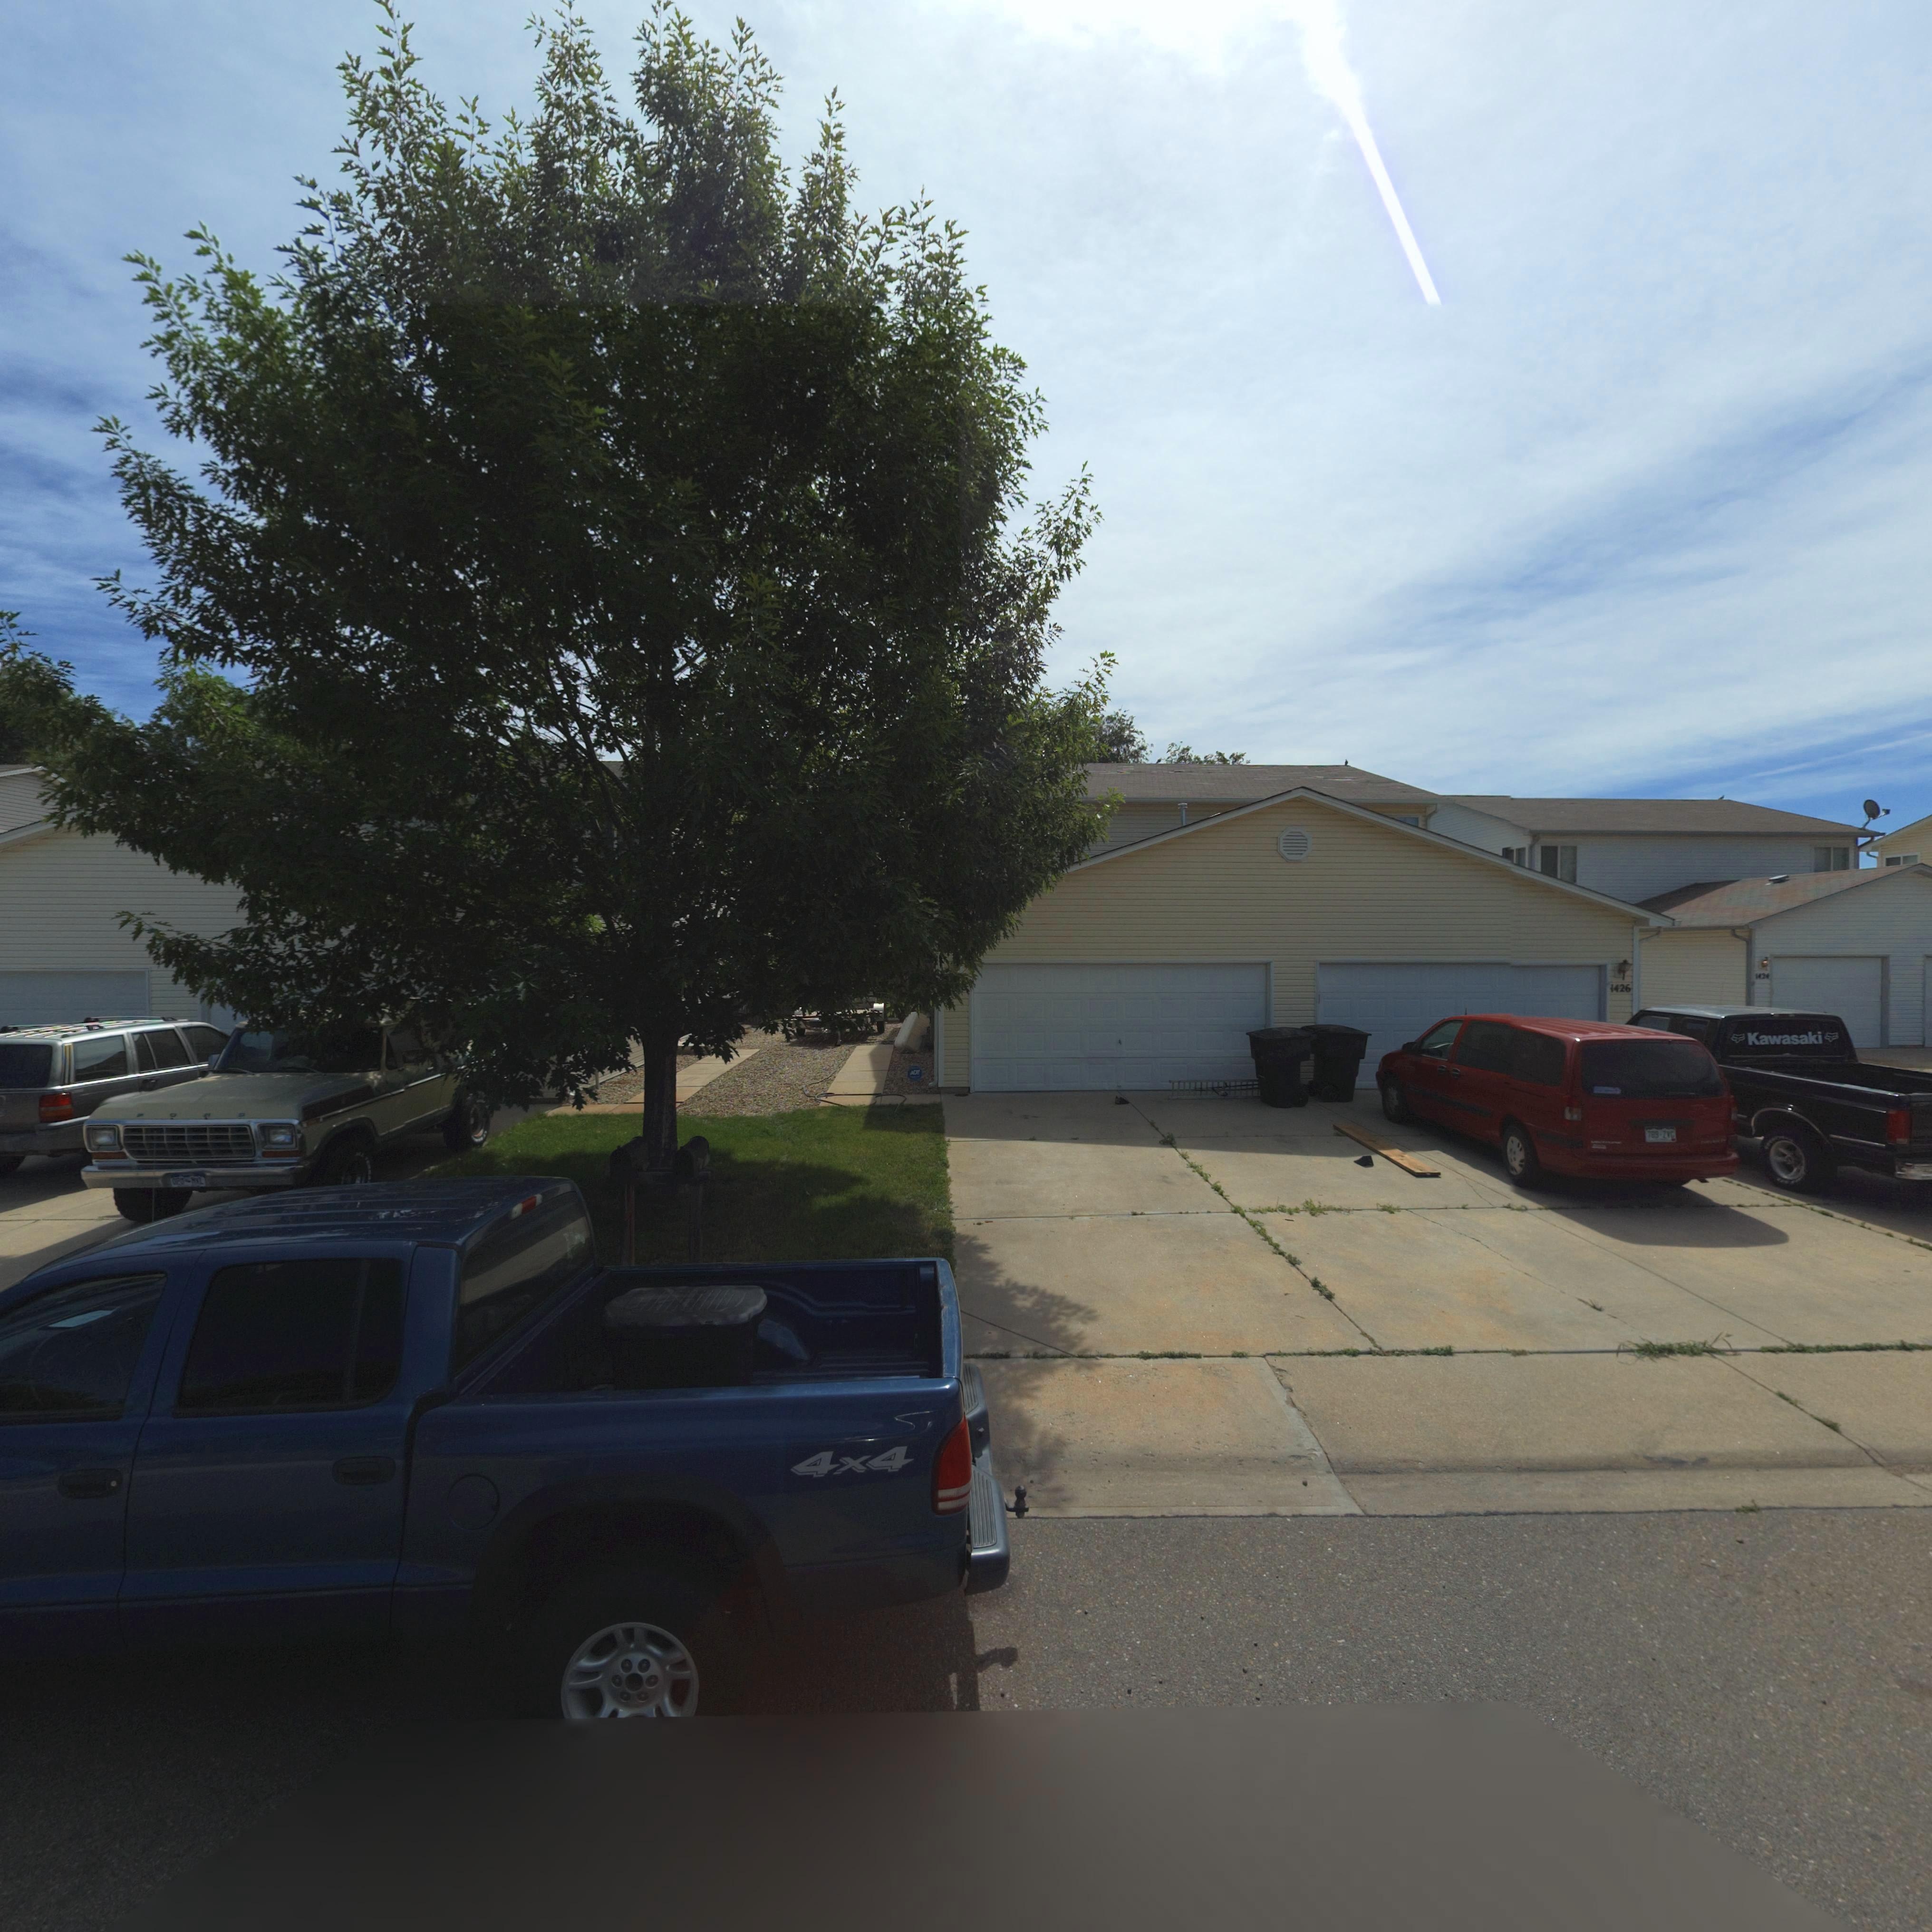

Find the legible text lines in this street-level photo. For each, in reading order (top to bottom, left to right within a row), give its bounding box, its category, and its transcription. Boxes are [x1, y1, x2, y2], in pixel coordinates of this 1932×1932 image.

[1754, 973, 1770, 979] StreetNumber: 1424
[1611, 983, 1632, 993] StreetNumber: 1426